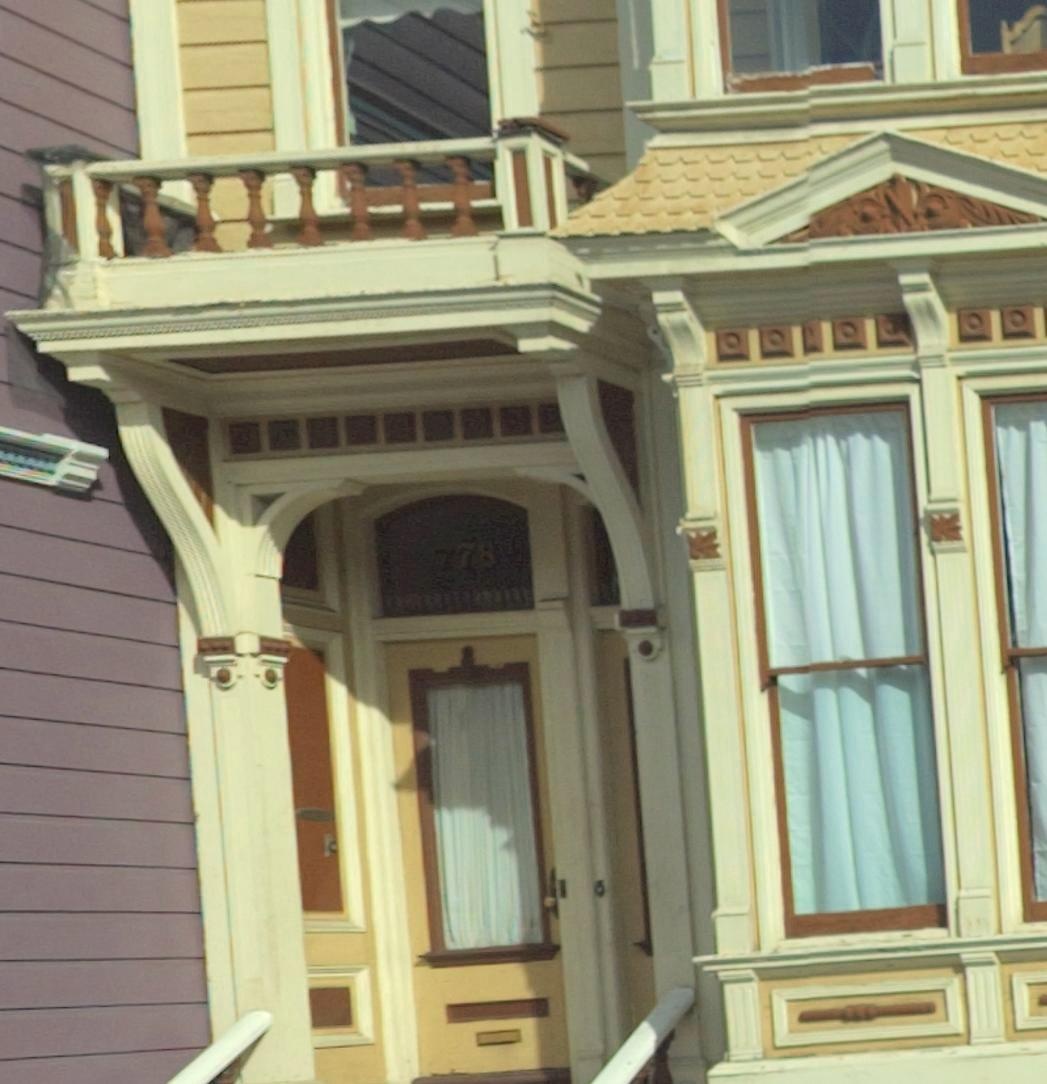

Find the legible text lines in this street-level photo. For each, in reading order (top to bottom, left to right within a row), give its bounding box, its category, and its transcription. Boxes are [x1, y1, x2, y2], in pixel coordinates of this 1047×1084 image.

[431, 539, 500, 578] StreetNumber: 778